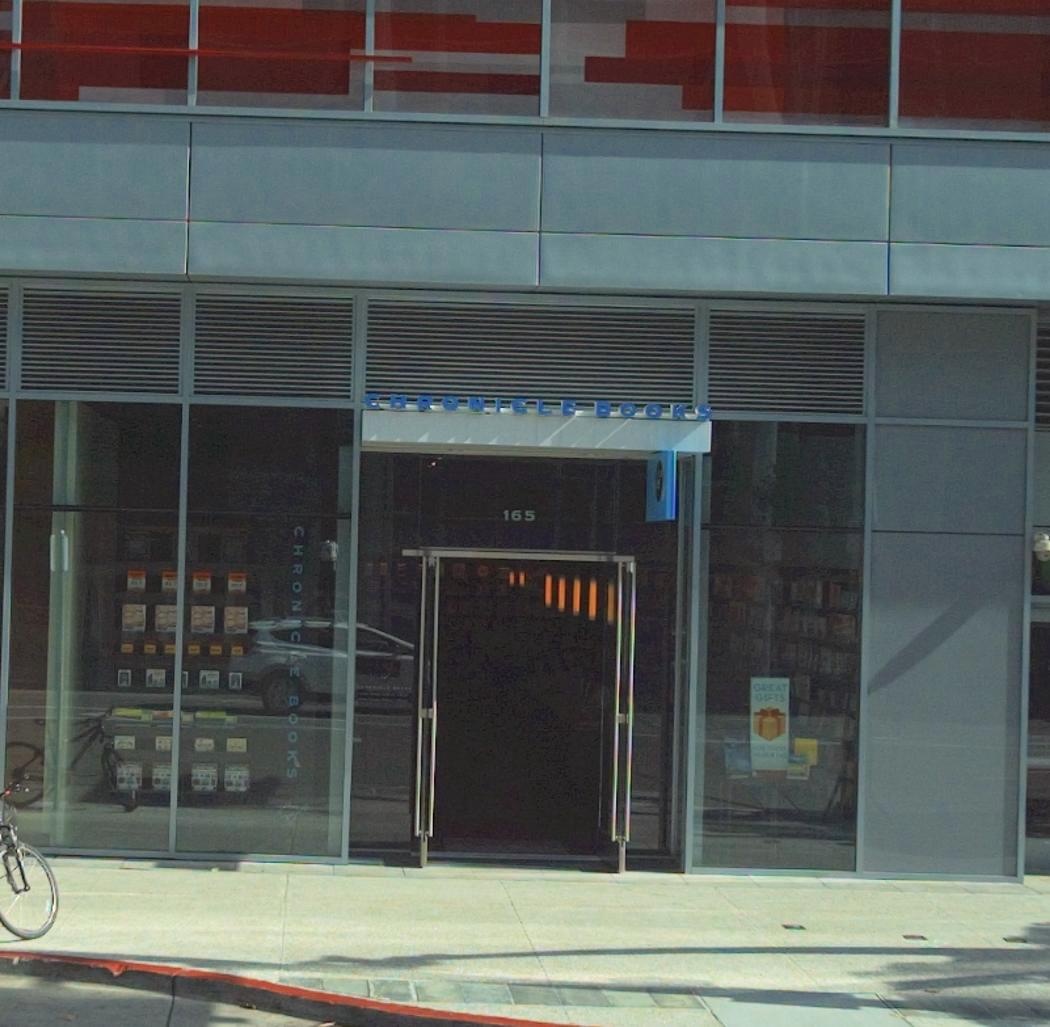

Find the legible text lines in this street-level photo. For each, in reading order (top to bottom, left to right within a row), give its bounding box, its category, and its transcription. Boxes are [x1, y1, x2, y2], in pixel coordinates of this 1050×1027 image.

[362, 390, 716, 423] BusinessName: CHRONICLE BOOKS
[501, 506, 539, 524] StreetNumber: 165
[281, 522, 309, 782] BusinessName: CHRONICLE BOOKS
[751, 679, 790, 695] None: GREAT
[752, 691, 788, 705] None: GIFTS